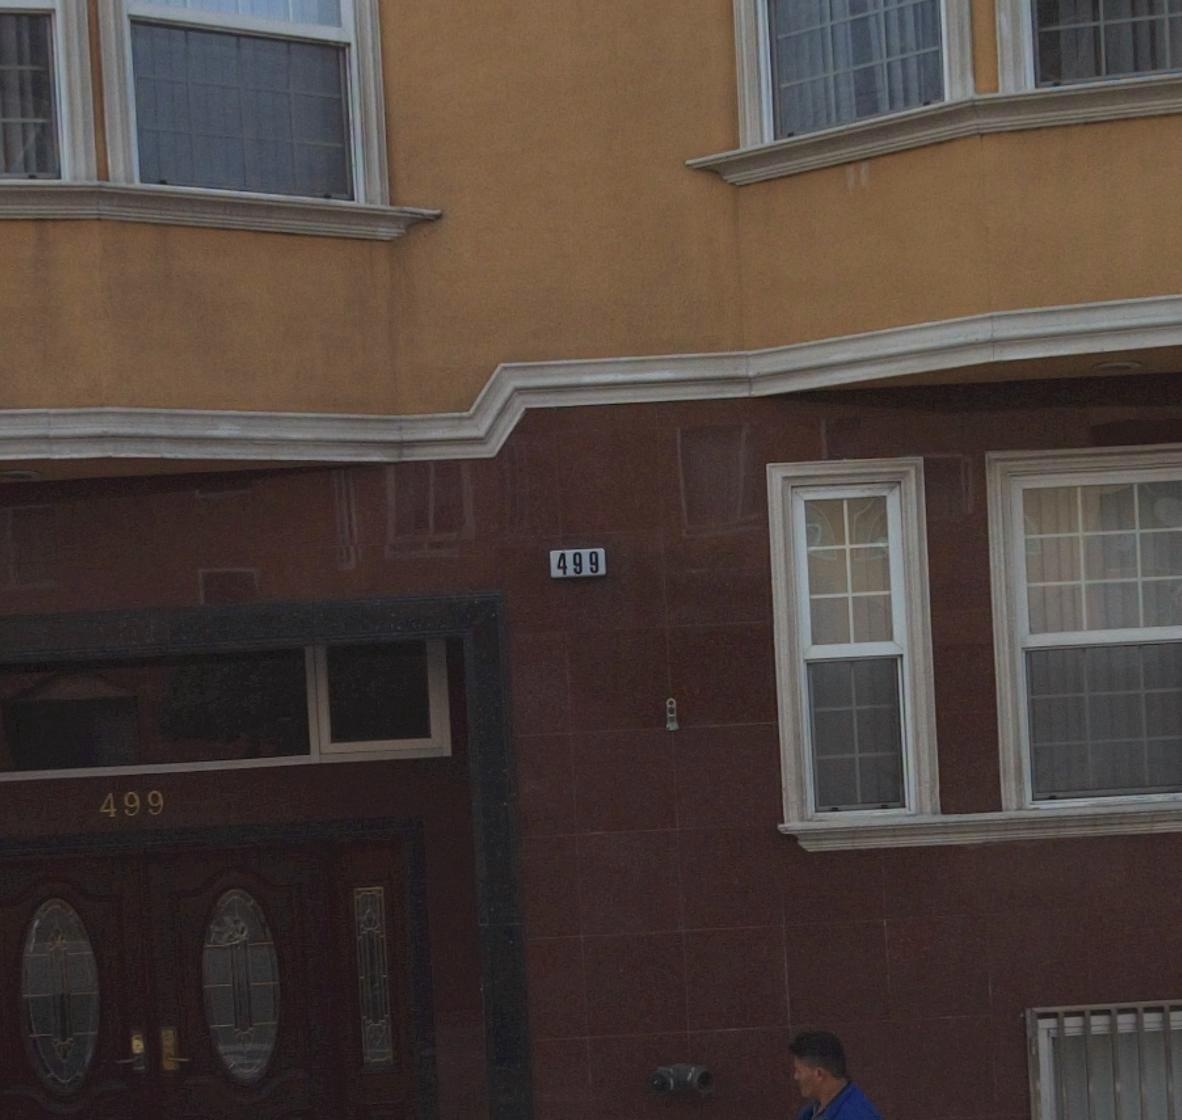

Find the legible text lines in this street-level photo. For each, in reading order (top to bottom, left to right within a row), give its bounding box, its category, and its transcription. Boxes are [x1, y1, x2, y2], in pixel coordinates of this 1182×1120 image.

[555, 549, 601, 576] StreetNumber: 499
[97, 788, 165, 819] StreetNumber: 499